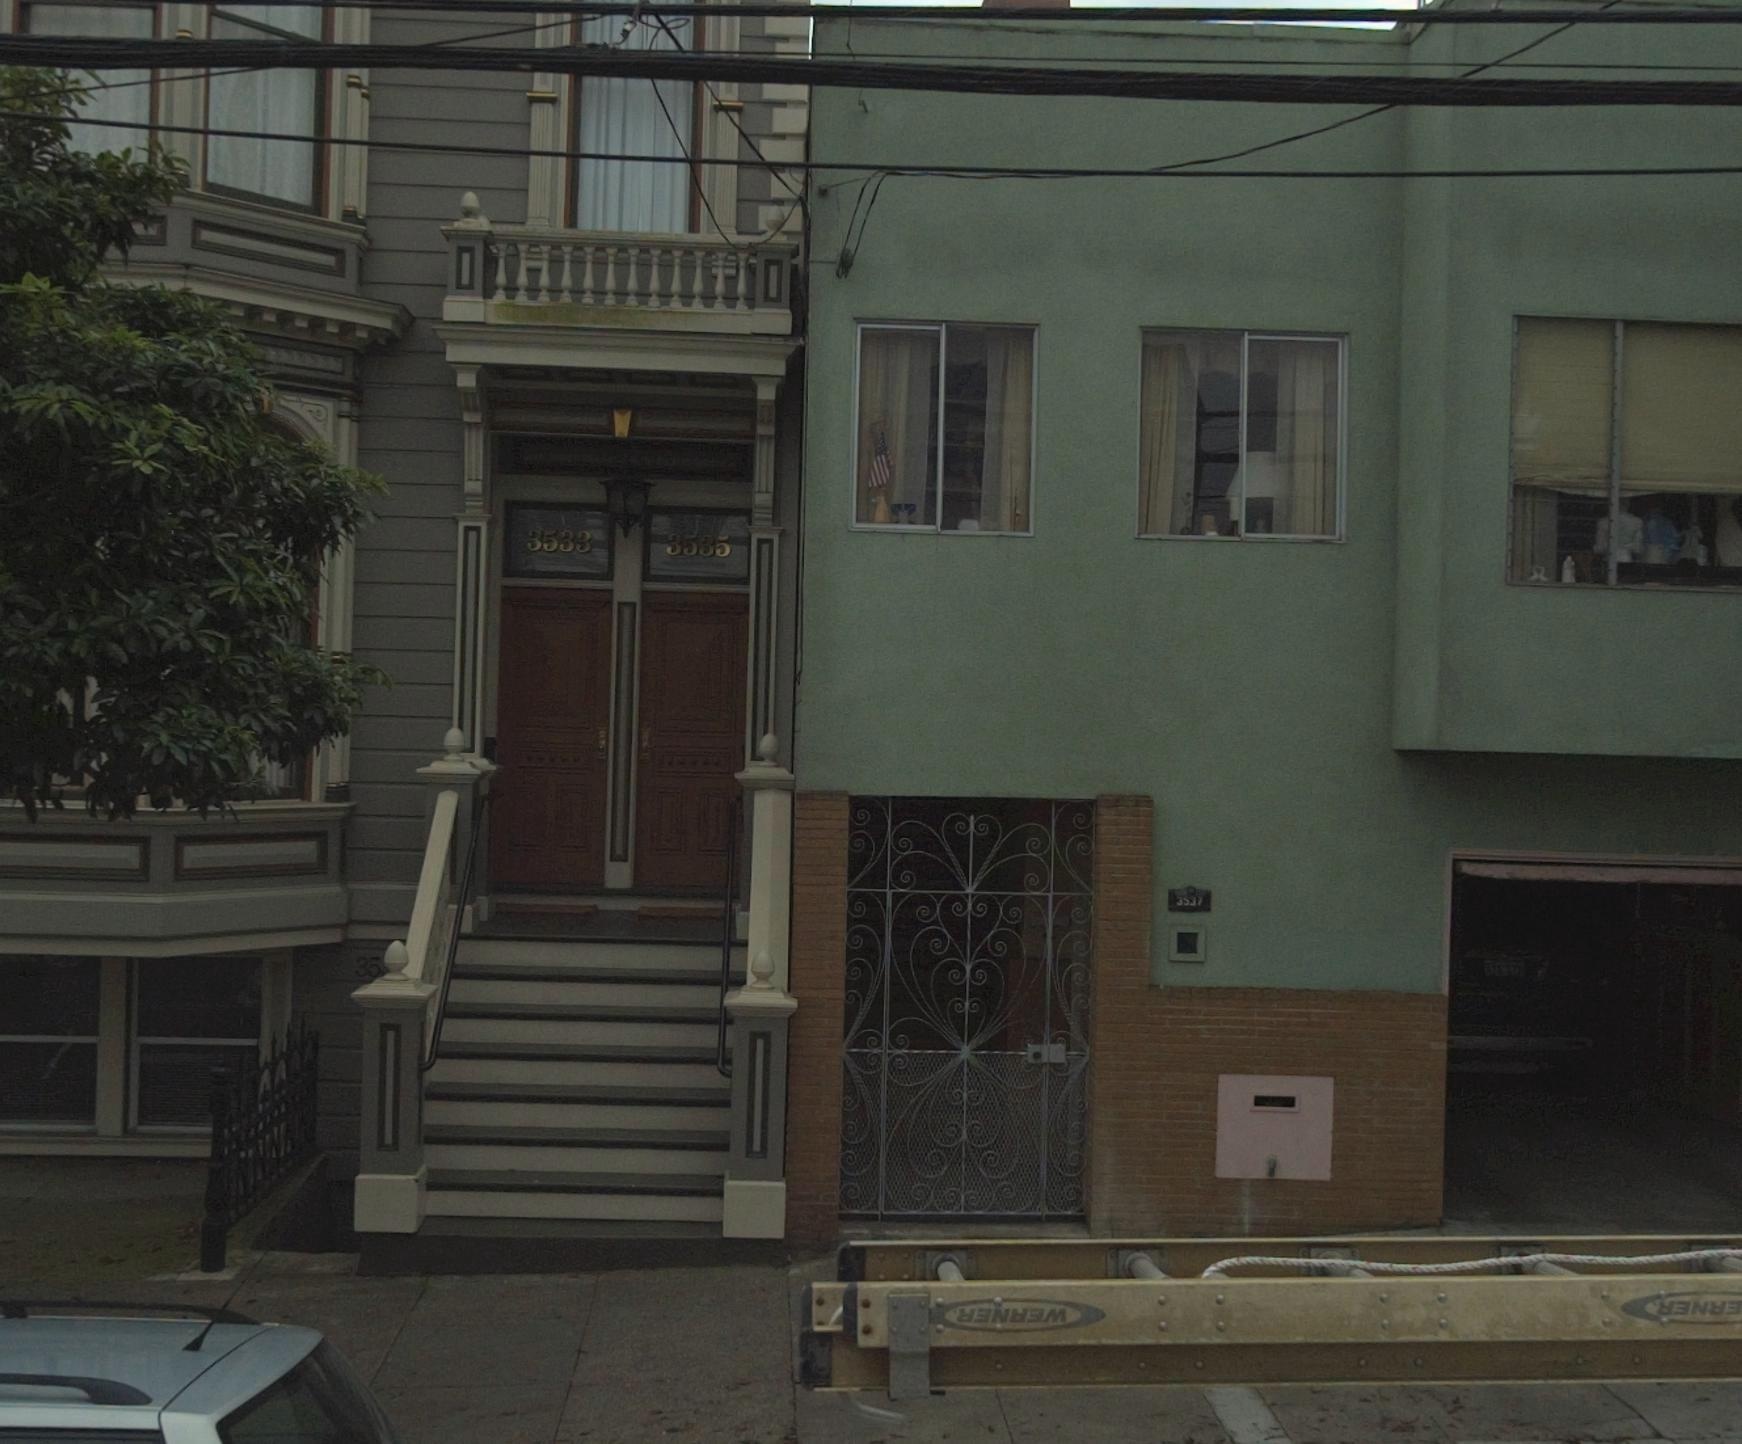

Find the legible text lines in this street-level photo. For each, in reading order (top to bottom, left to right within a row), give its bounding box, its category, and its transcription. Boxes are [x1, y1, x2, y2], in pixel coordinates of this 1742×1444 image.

[526, 527, 594, 555] StreetNumber: 3533
[664, 532, 732, 558] StreetNumber: 3535
[1176, 896, 1204, 906] StreetNumber: 3537
[353, 954, 384, 980] StreetNumber: 35
[953, 1307, 1070, 1325] None: **N***